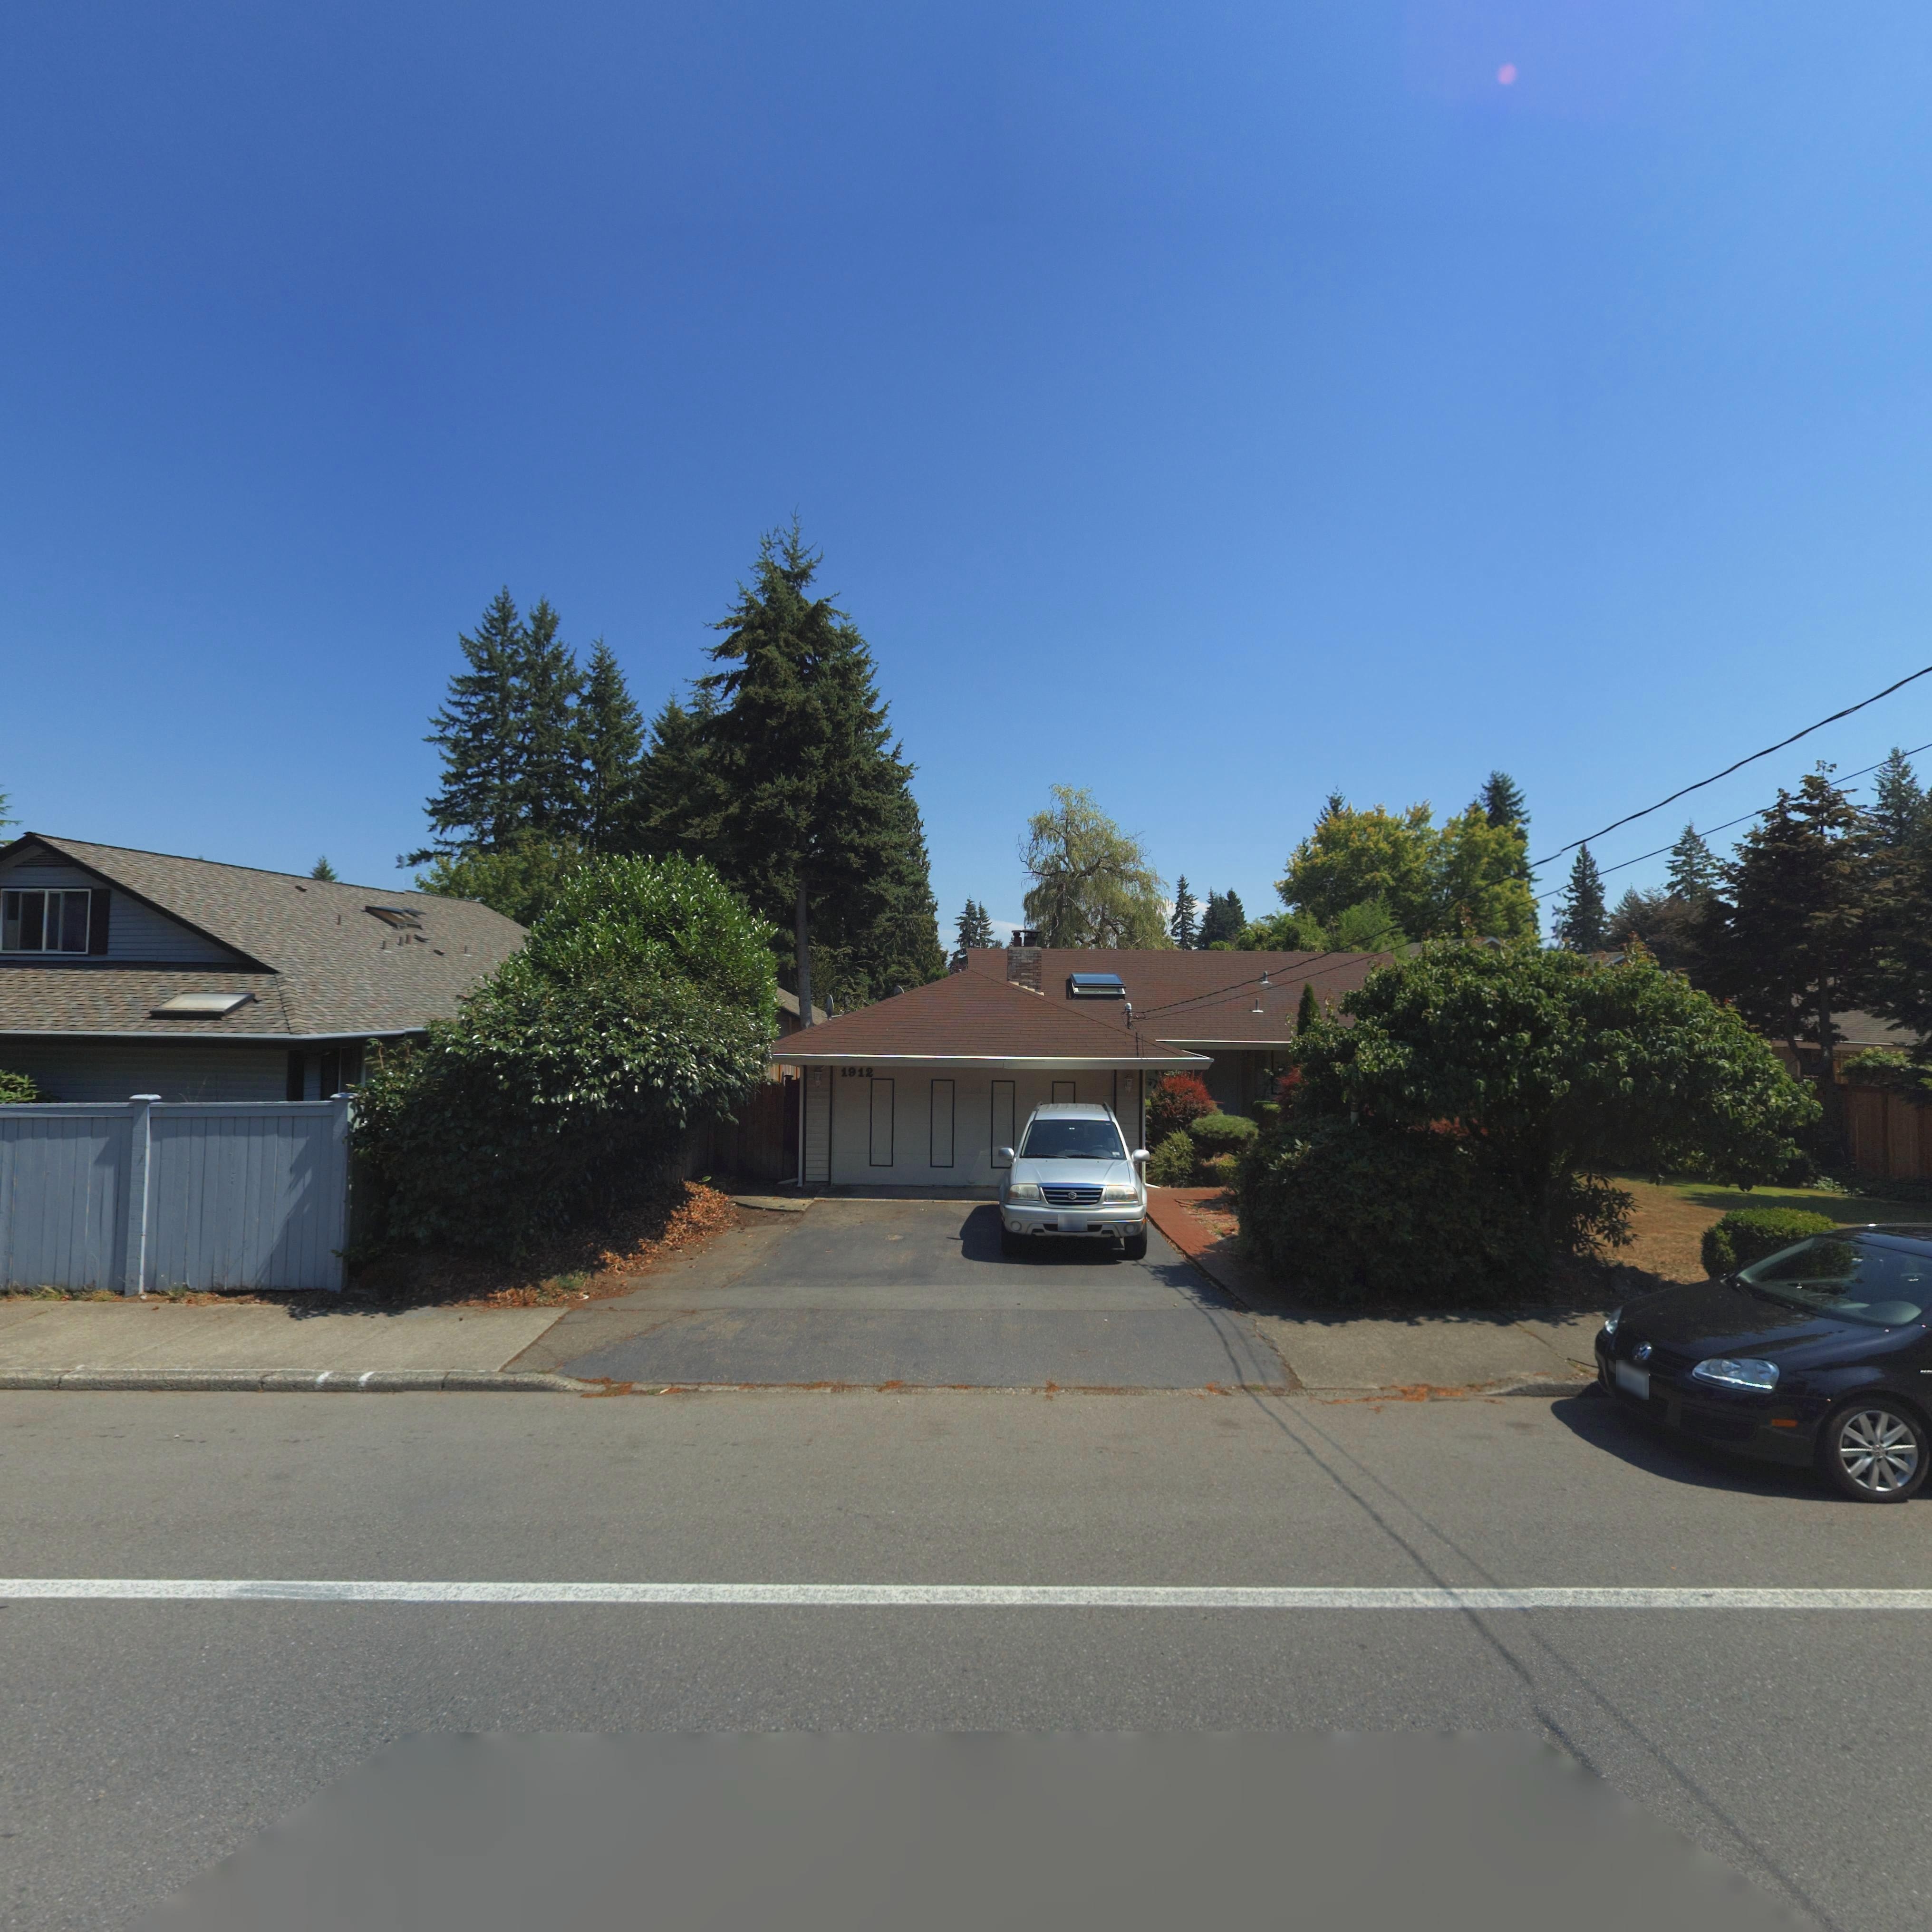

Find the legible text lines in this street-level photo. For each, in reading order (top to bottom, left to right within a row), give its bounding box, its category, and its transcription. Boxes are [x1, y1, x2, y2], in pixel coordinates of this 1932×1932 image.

[841, 1067, 872, 1077] StreetNumber: 1912